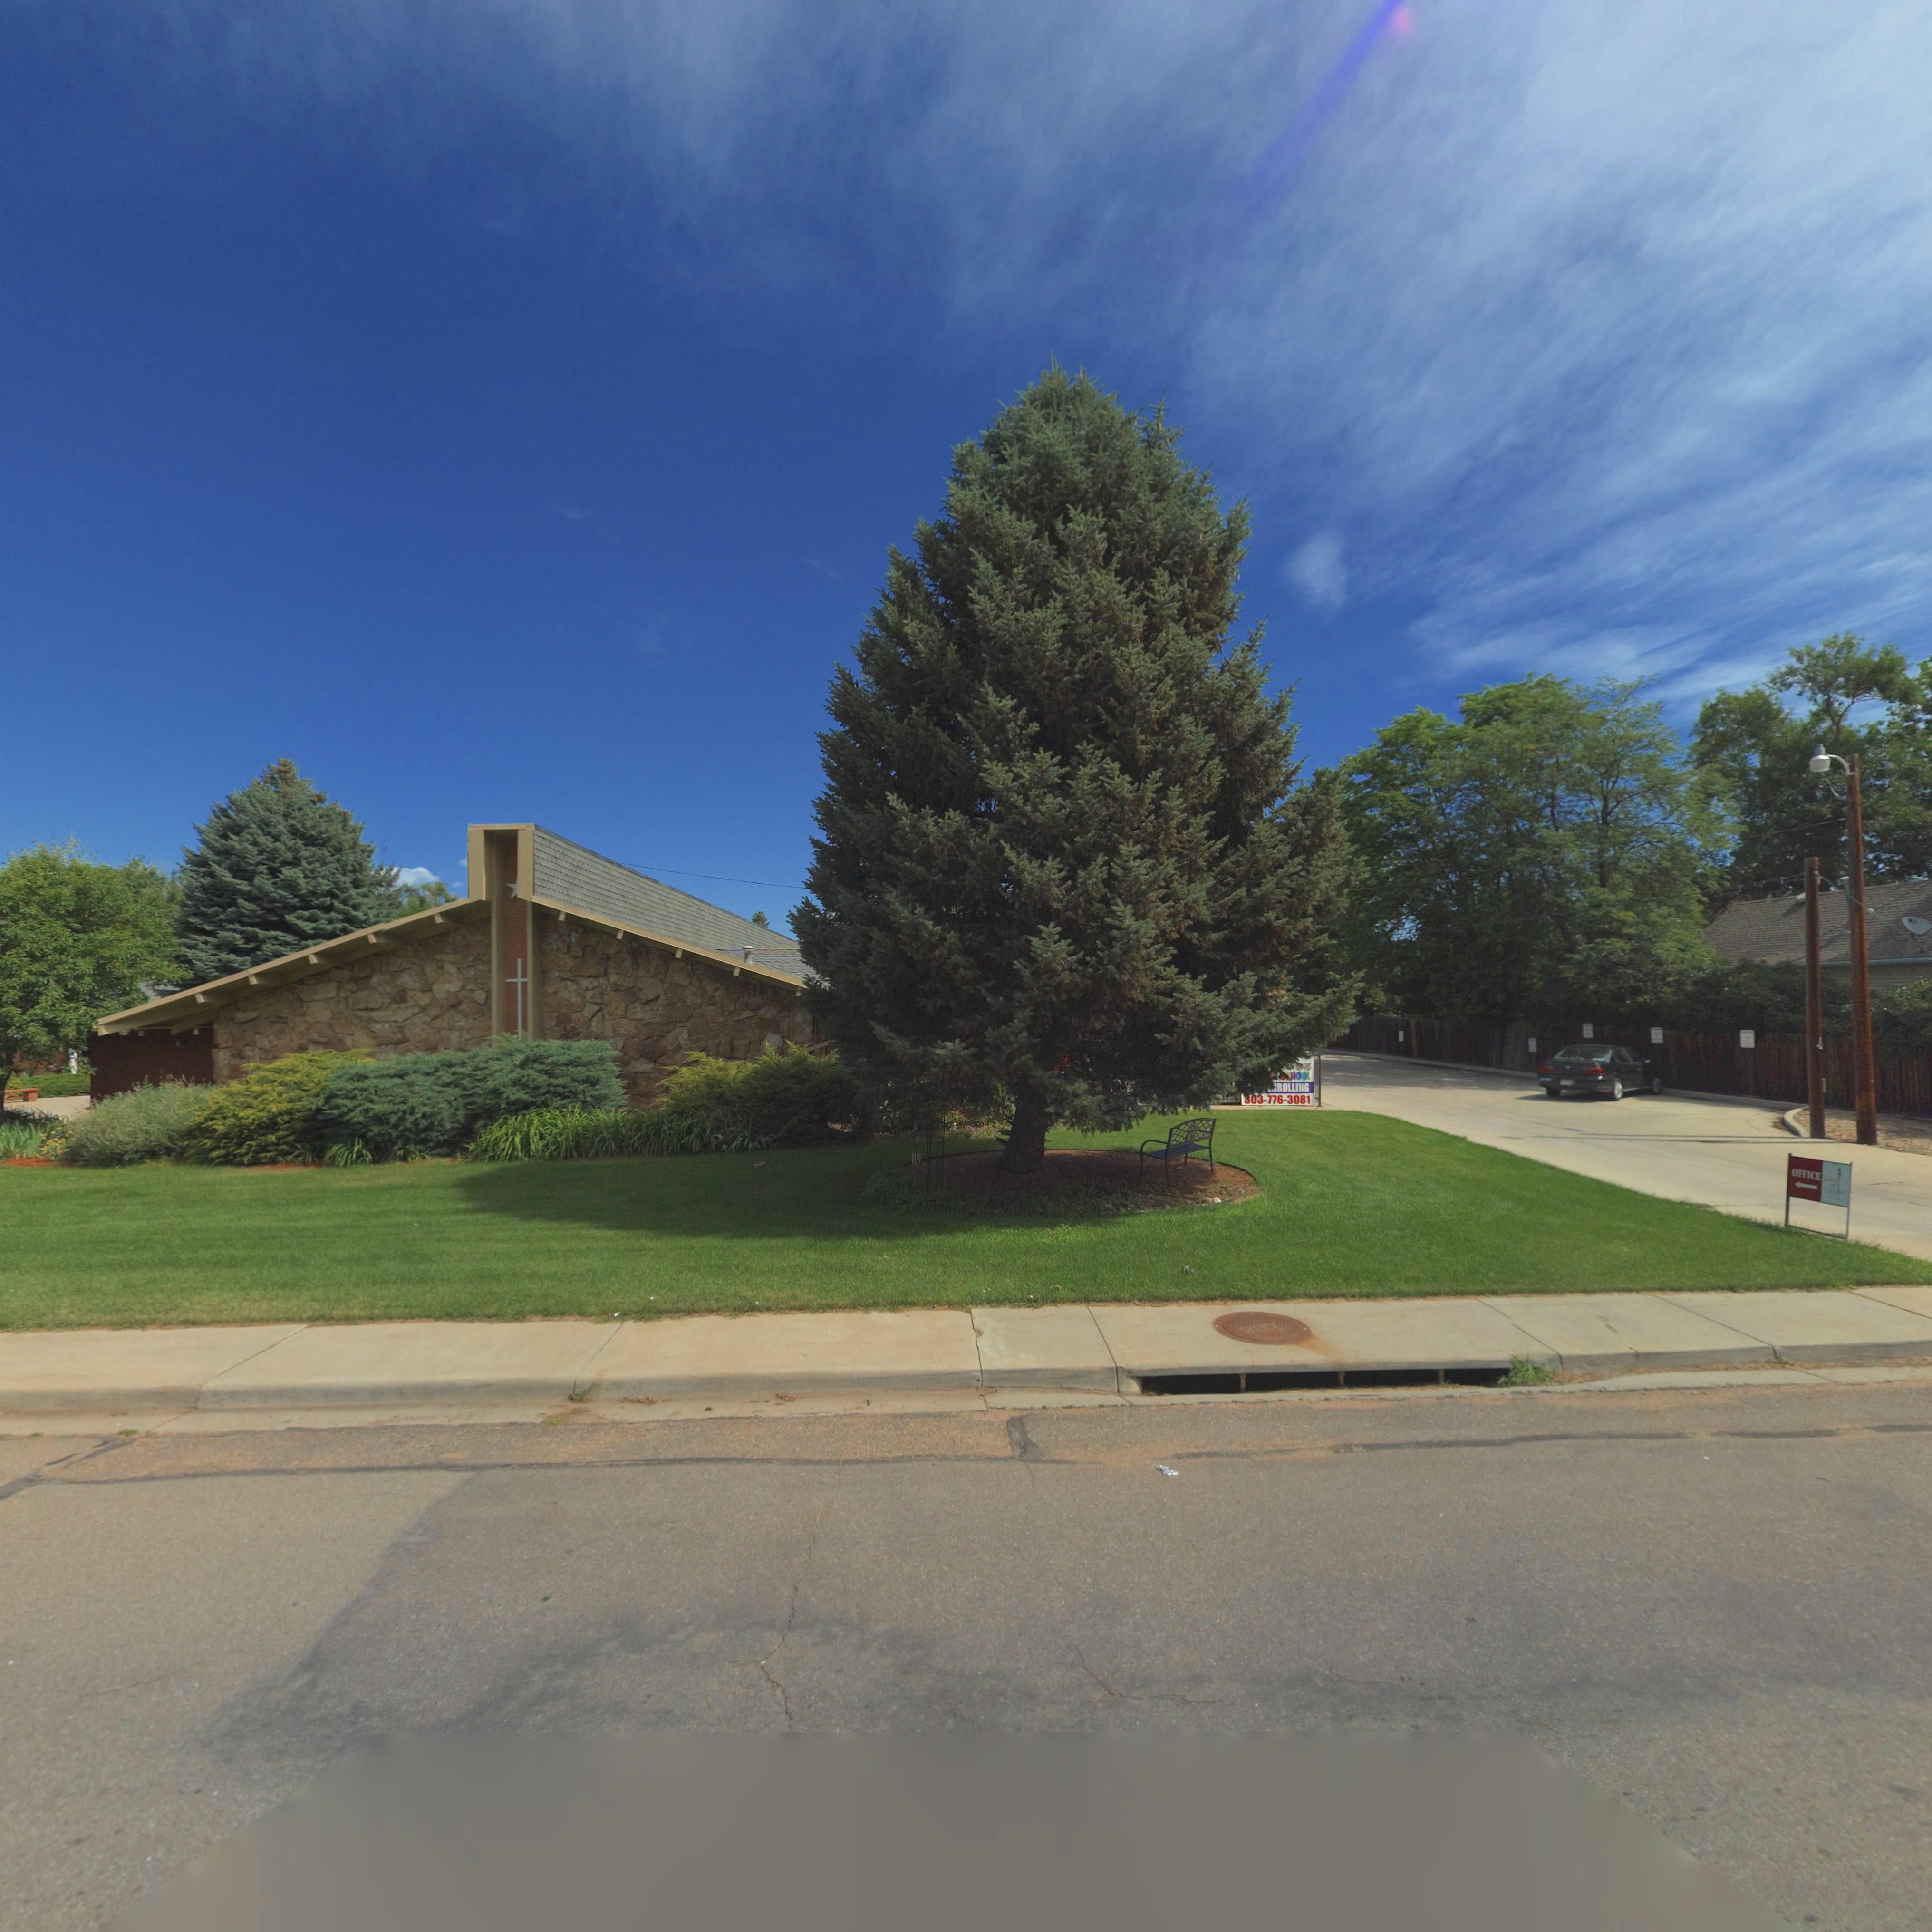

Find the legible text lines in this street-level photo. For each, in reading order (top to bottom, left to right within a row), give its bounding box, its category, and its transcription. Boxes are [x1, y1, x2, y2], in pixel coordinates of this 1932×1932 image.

[1294, 1062, 1313, 1072] BusinessName: *NE